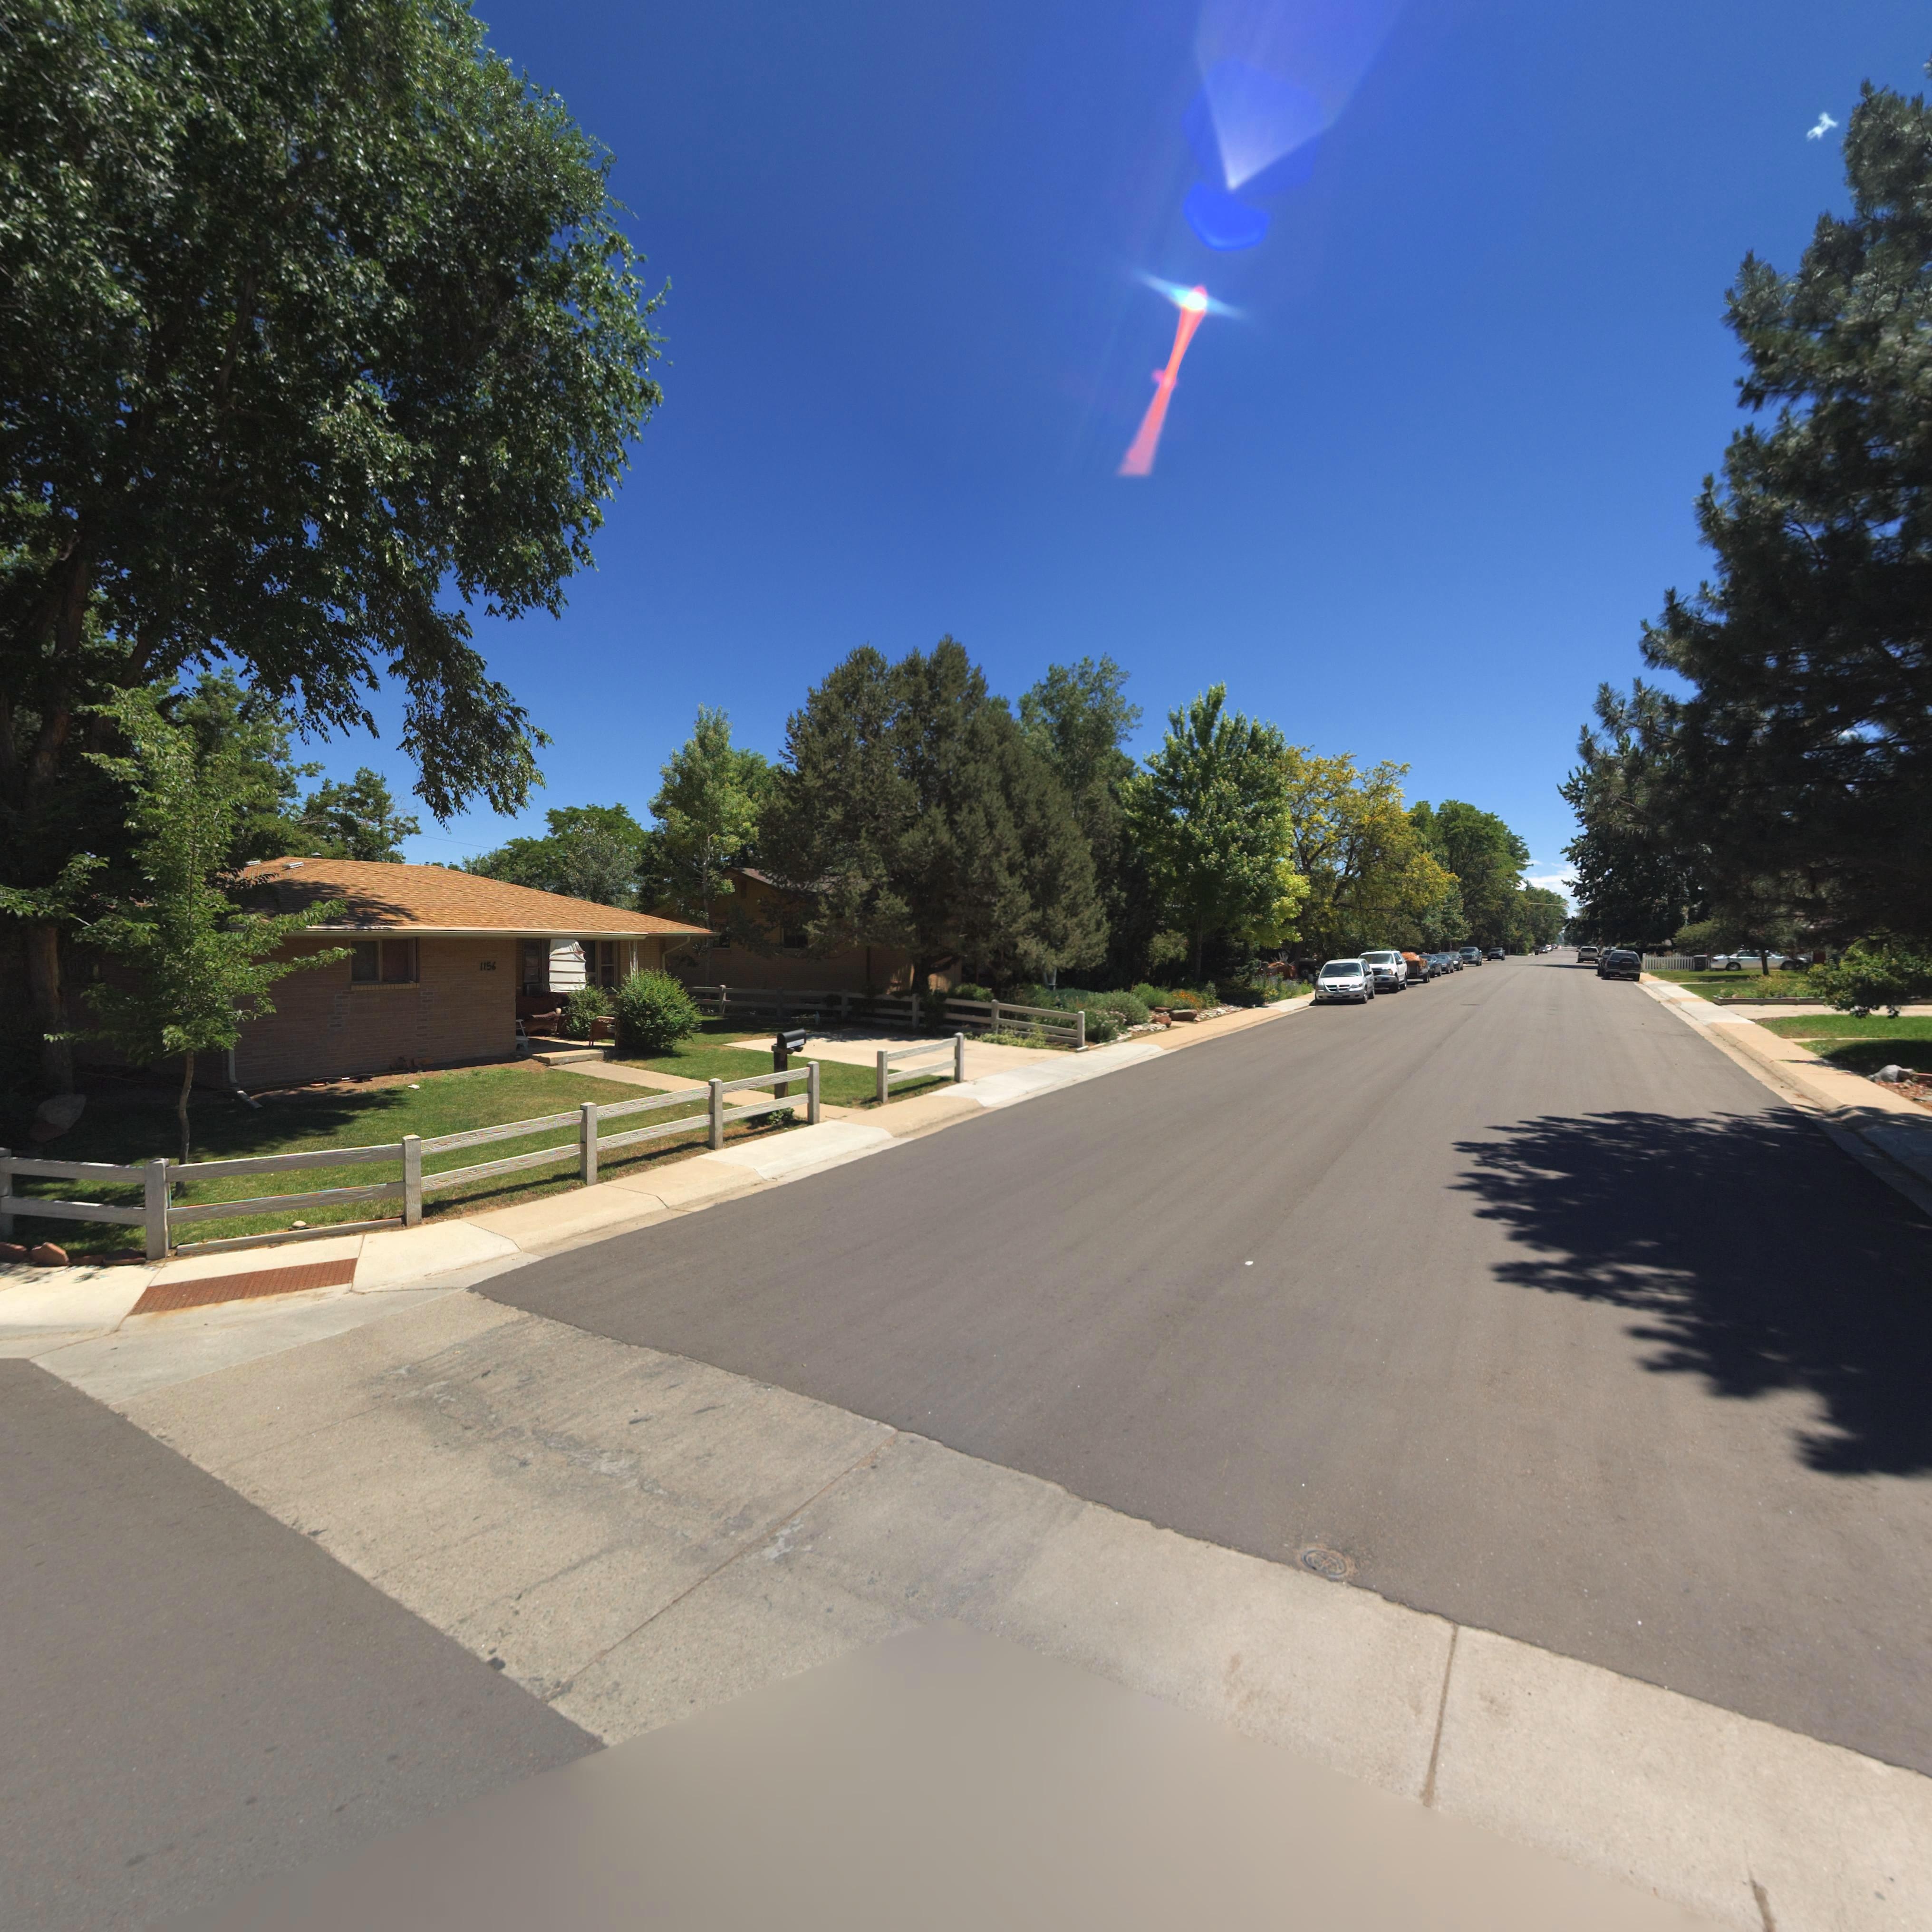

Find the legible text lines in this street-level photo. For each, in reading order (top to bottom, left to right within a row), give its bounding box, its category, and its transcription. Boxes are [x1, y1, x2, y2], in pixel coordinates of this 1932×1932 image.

[480, 961, 496, 970] StreetNumber: 1156